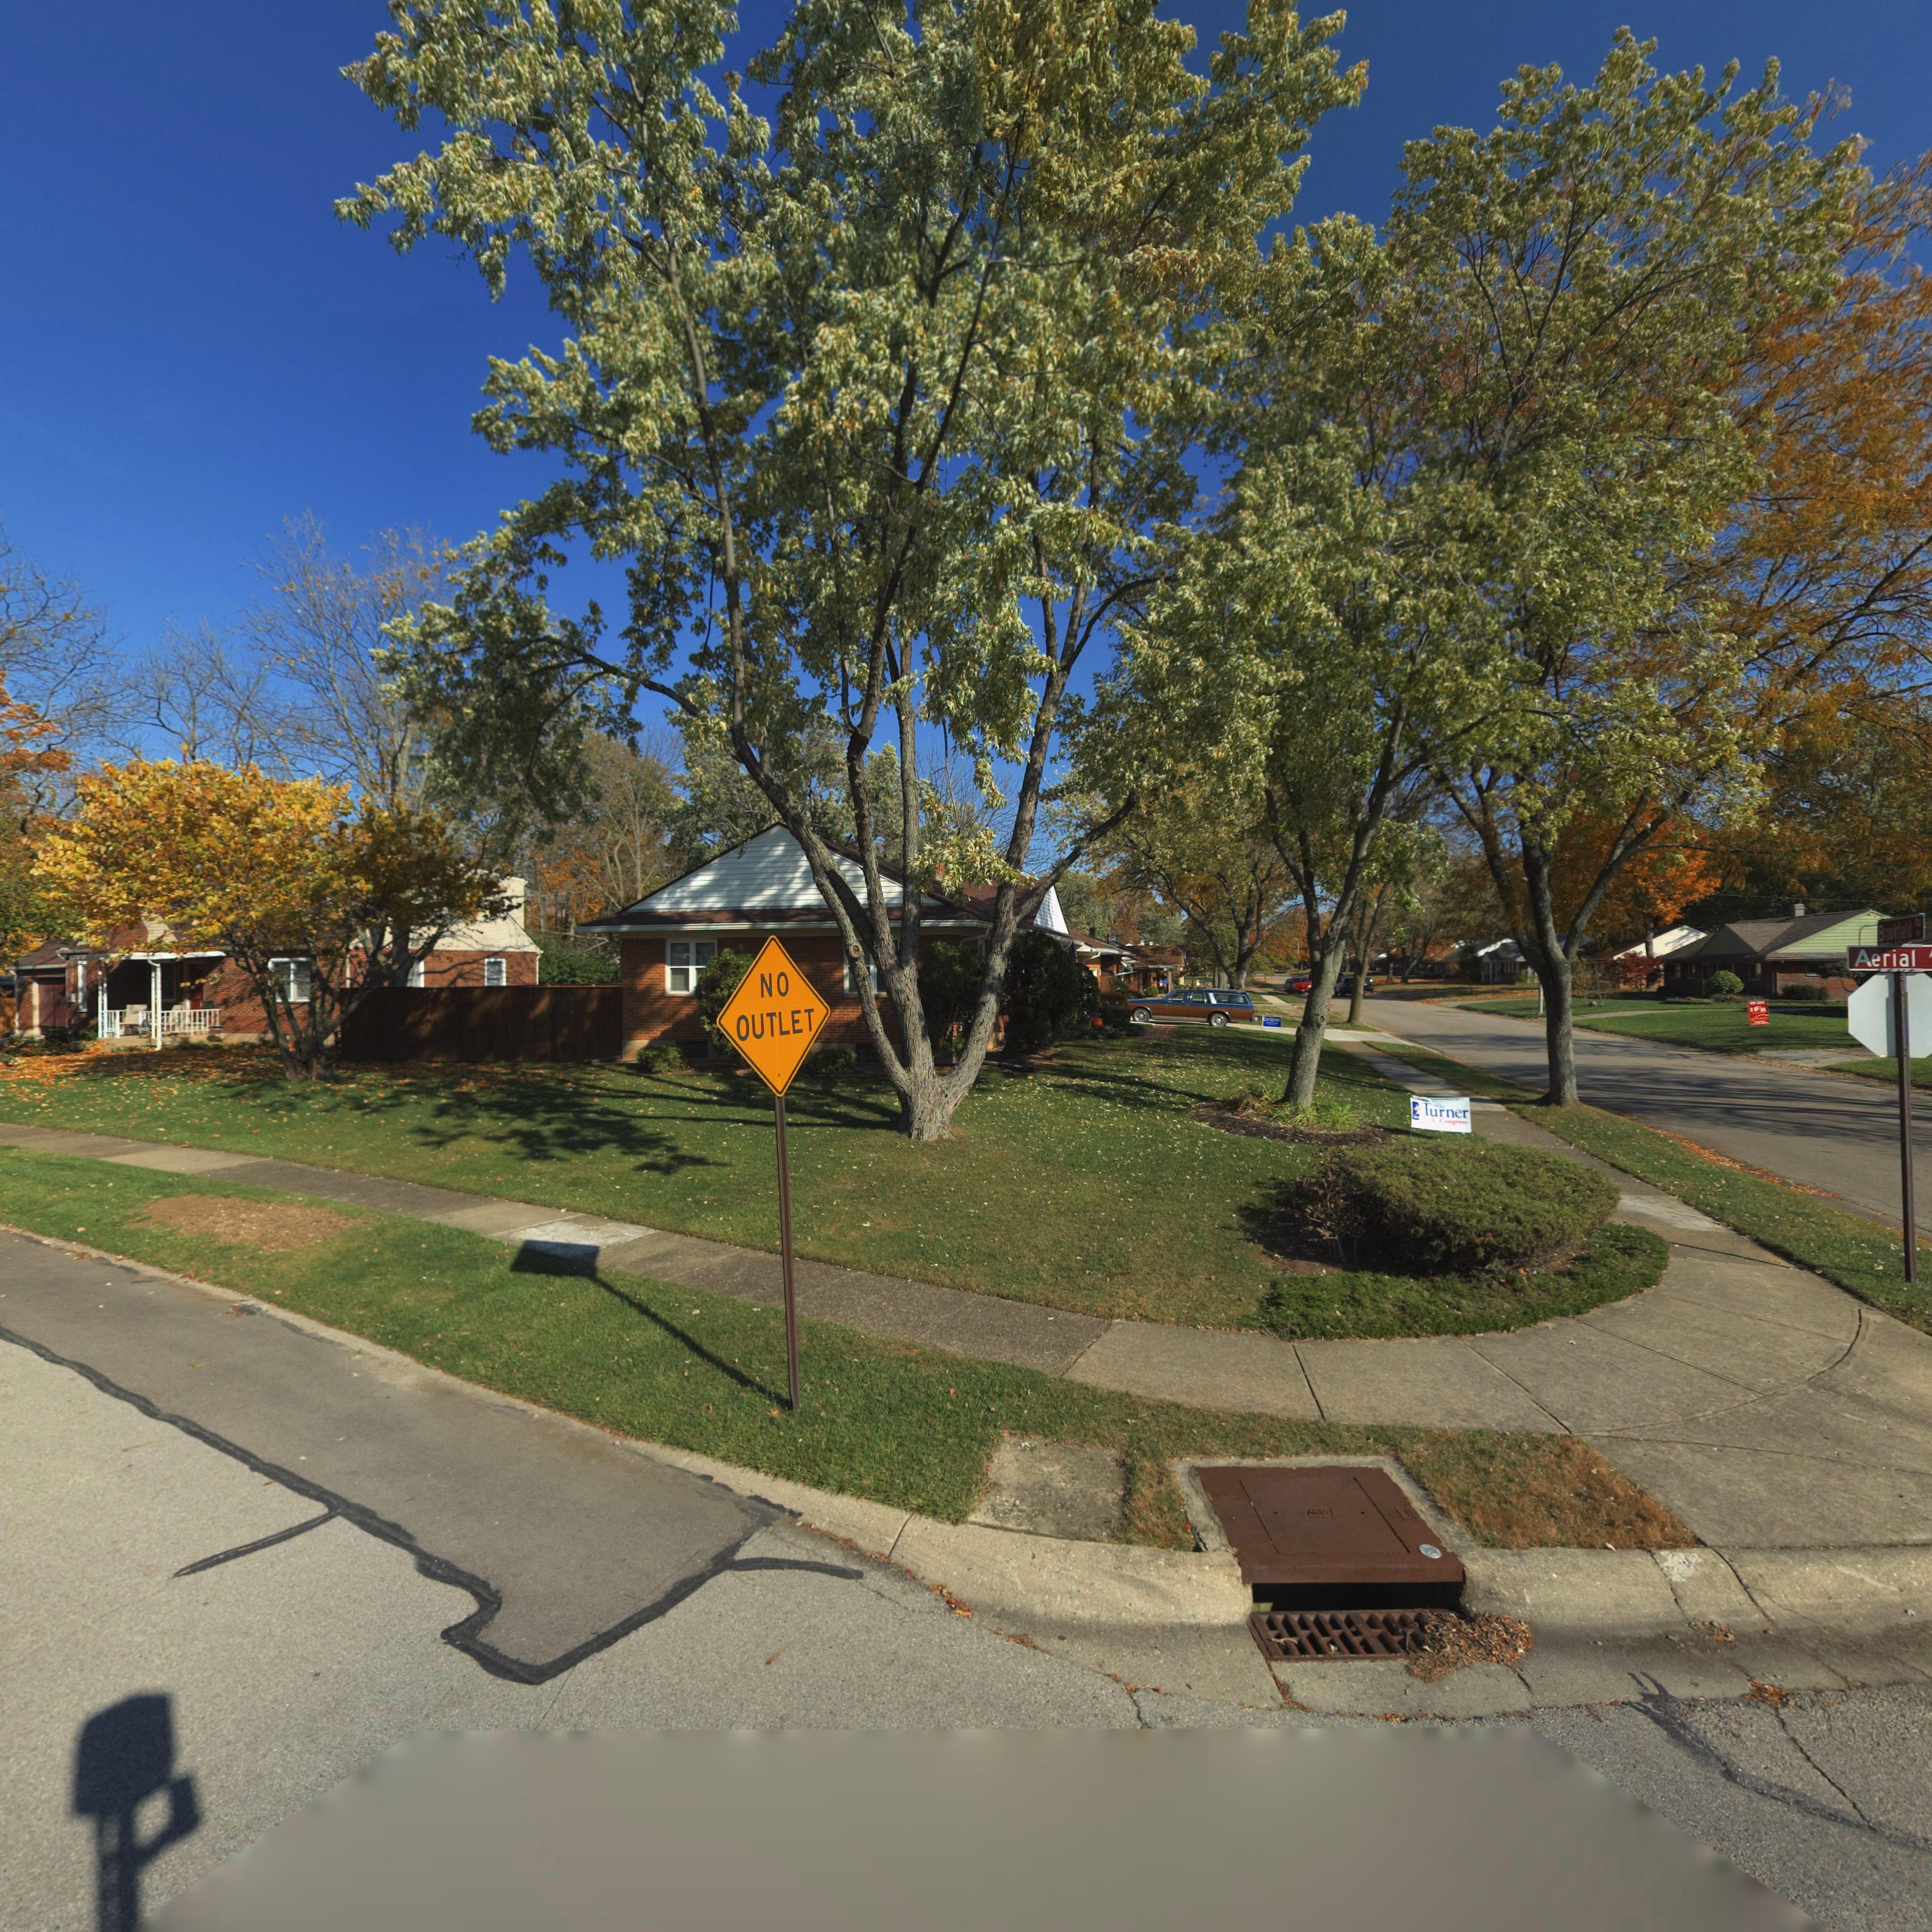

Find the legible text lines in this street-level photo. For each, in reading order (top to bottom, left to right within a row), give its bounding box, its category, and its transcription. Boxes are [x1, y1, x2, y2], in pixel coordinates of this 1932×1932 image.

[1878, 917, 1922, 943] StreetName: Brookfield Rd
[1853, 948, 1916, 967] StreetName: Aerial
[760, 971, 789, 999] None: NO
[1755, 1005, 1768, 1013] None: FR
[735, 1008, 815, 1042] None: OUTLET
[1263, 1016, 1267, 1022] None: D
[1420, 1101, 1469, 1119] None: Turner
[1439, 1118, 1468, 1126] None: Congress